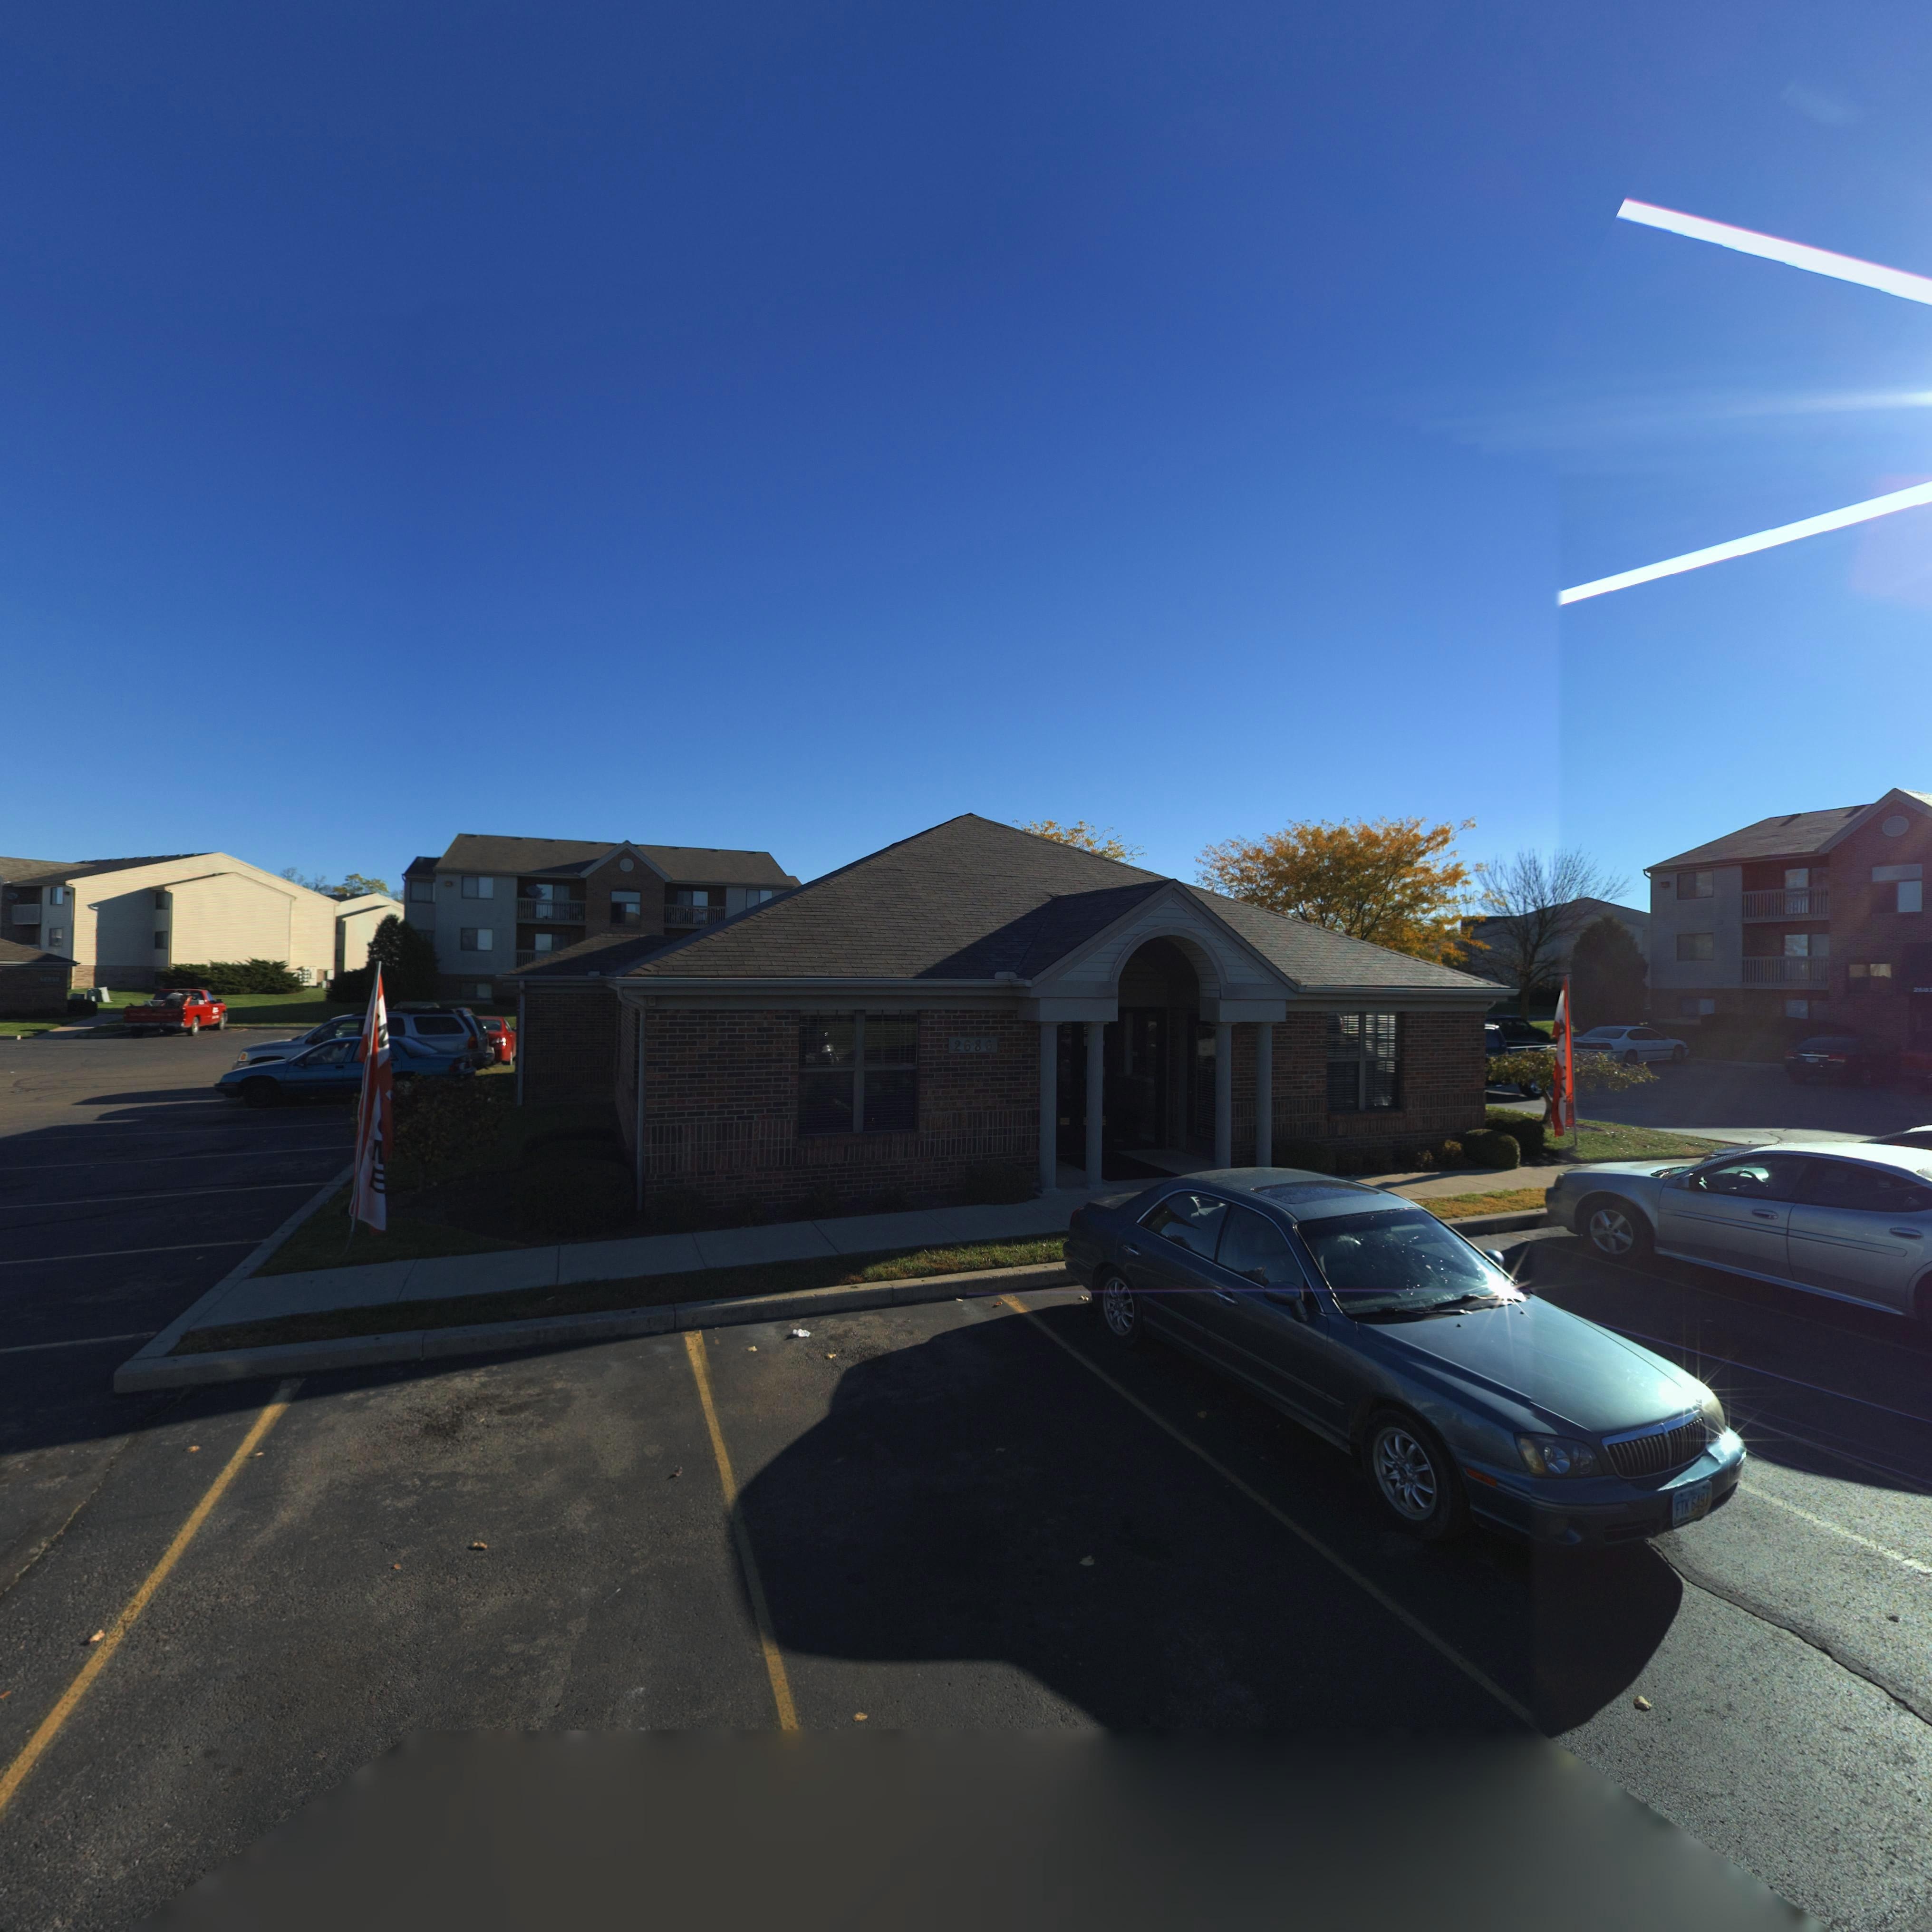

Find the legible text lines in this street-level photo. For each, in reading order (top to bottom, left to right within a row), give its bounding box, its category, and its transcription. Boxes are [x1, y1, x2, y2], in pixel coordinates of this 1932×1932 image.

[953, 1039, 993, 1053] StreetNumber: 2686